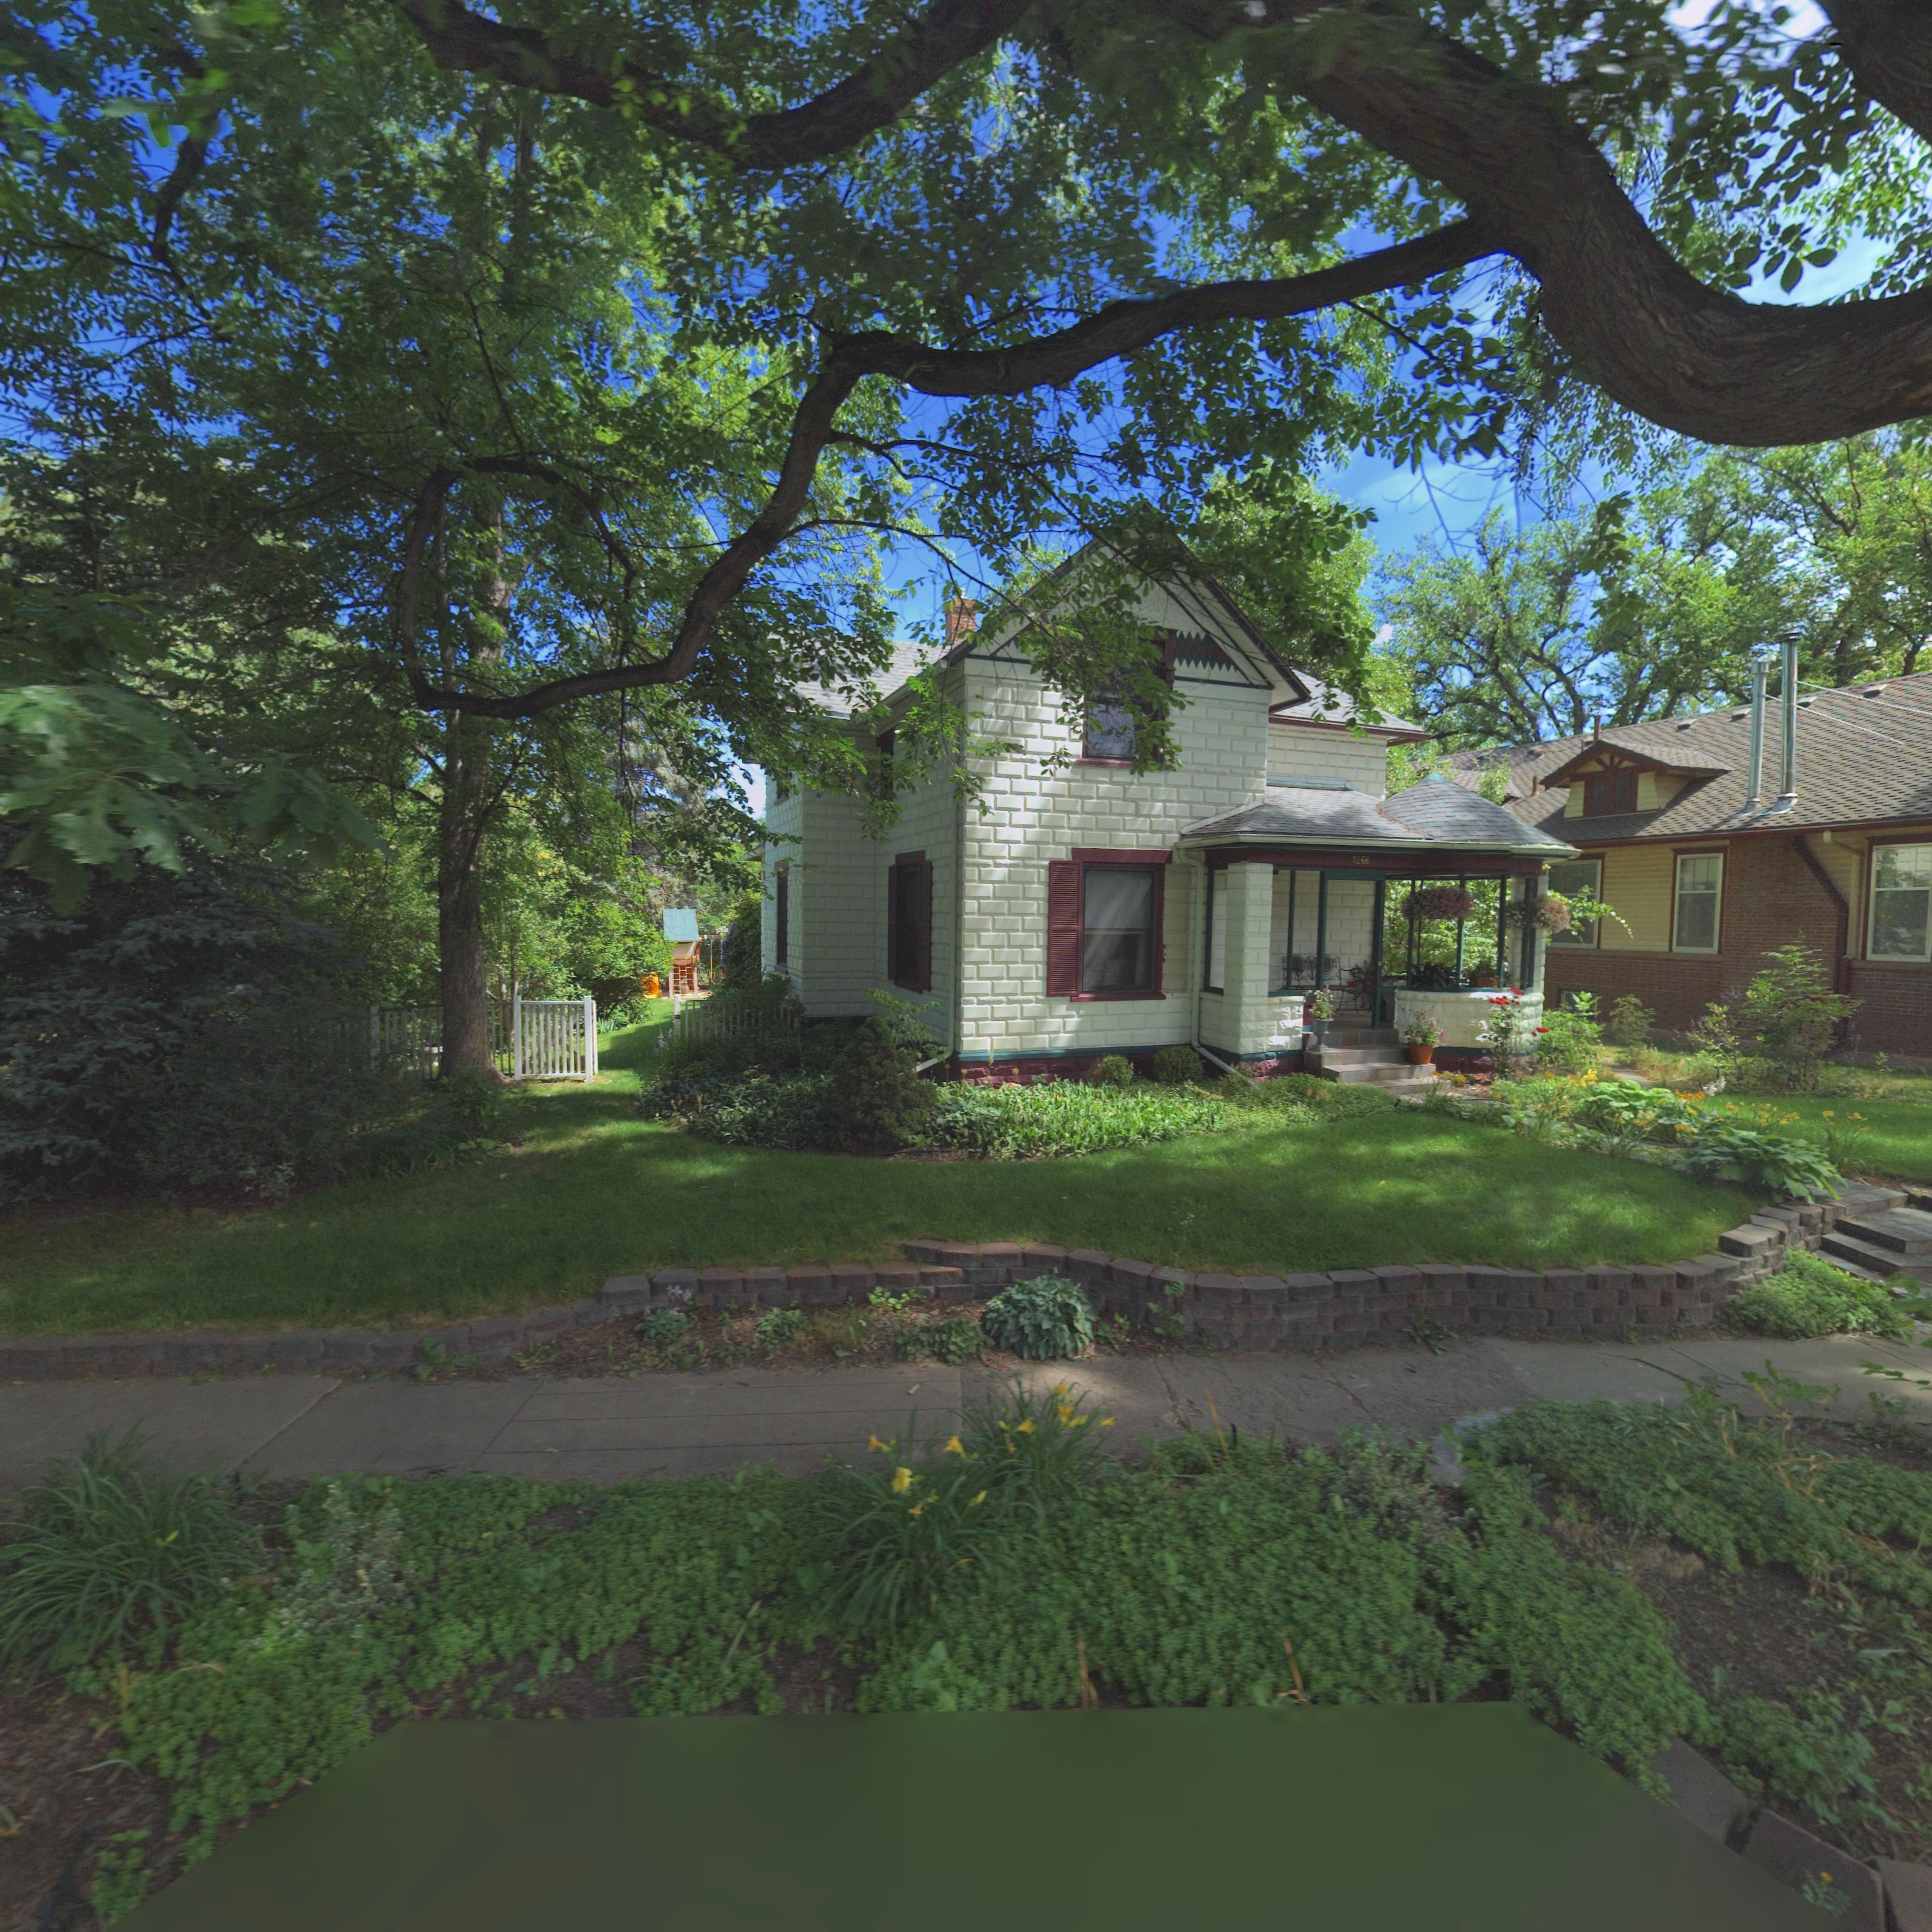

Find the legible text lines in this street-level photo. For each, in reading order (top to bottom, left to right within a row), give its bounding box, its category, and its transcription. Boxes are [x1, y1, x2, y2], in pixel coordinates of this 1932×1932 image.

[1352, 855, 1370, 864] StreetNumber: 1266